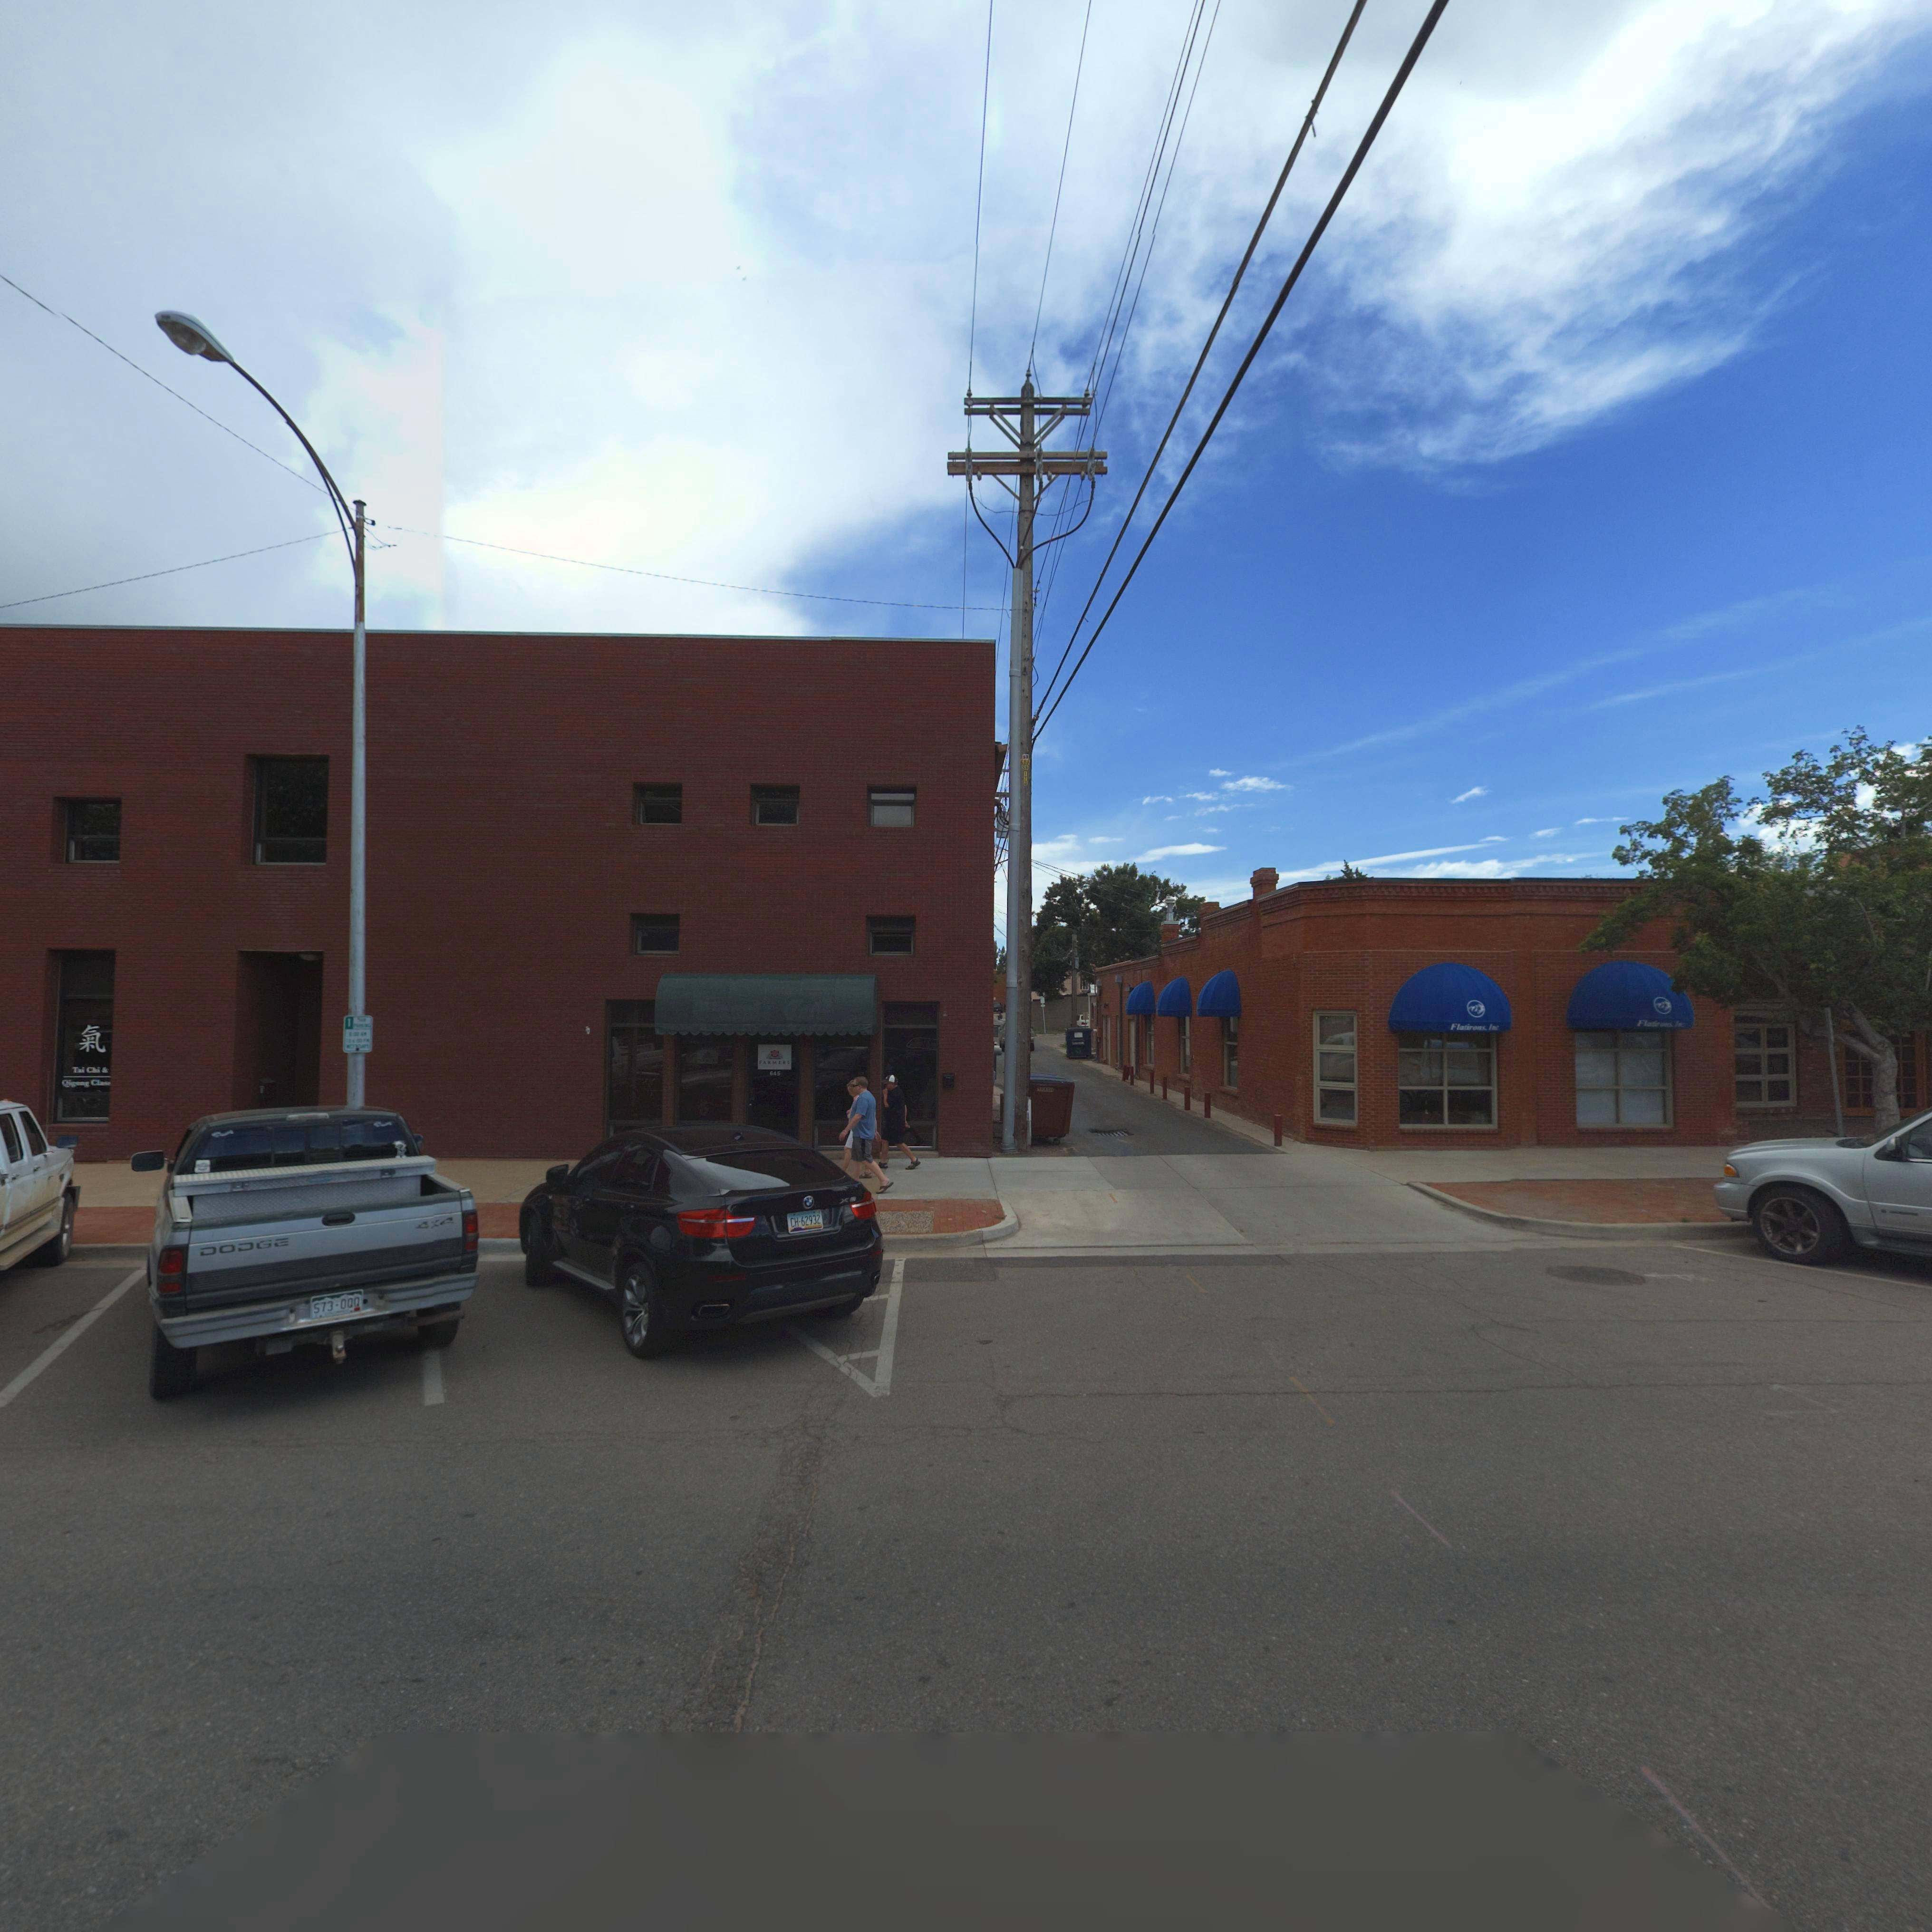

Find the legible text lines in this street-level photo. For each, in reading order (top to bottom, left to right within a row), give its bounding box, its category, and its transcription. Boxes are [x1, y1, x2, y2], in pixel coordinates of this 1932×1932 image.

[1450, 1023, 1499, 1030] BusinessName: Flatirons. Inc
[1636, 1019, 1684, 1027] BusinessName: Flatirons. inc
[759, 1060, 789, 1064] BusinessName: FARMERS
[769, 1071, 780, 1076] StreetNumber: 645